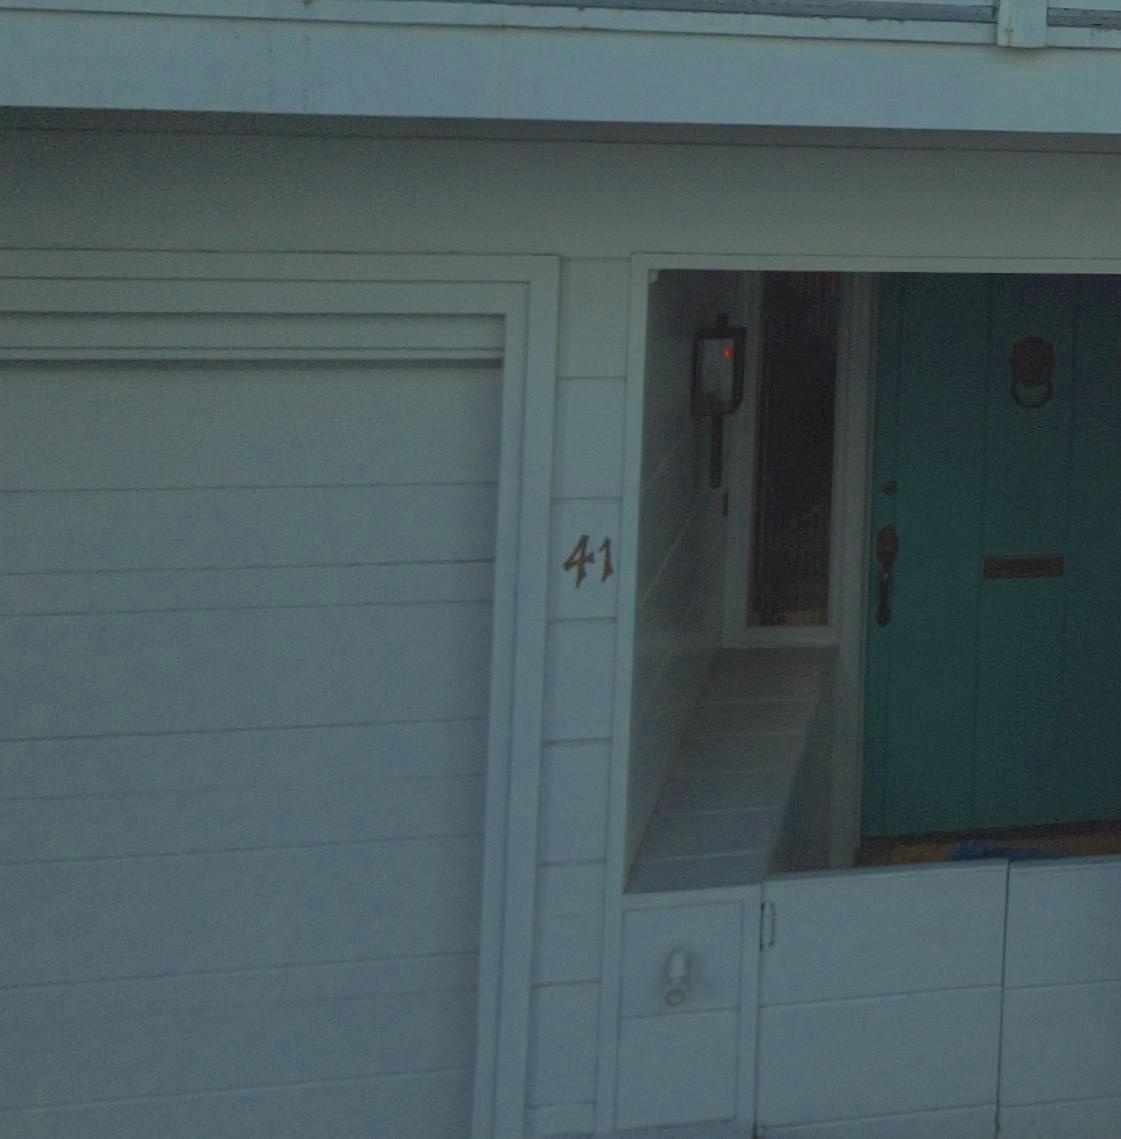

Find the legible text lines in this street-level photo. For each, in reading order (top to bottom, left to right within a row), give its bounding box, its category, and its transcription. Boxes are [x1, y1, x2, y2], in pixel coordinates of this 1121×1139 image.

[559, 529, 618, 591] StreetNumber: 41